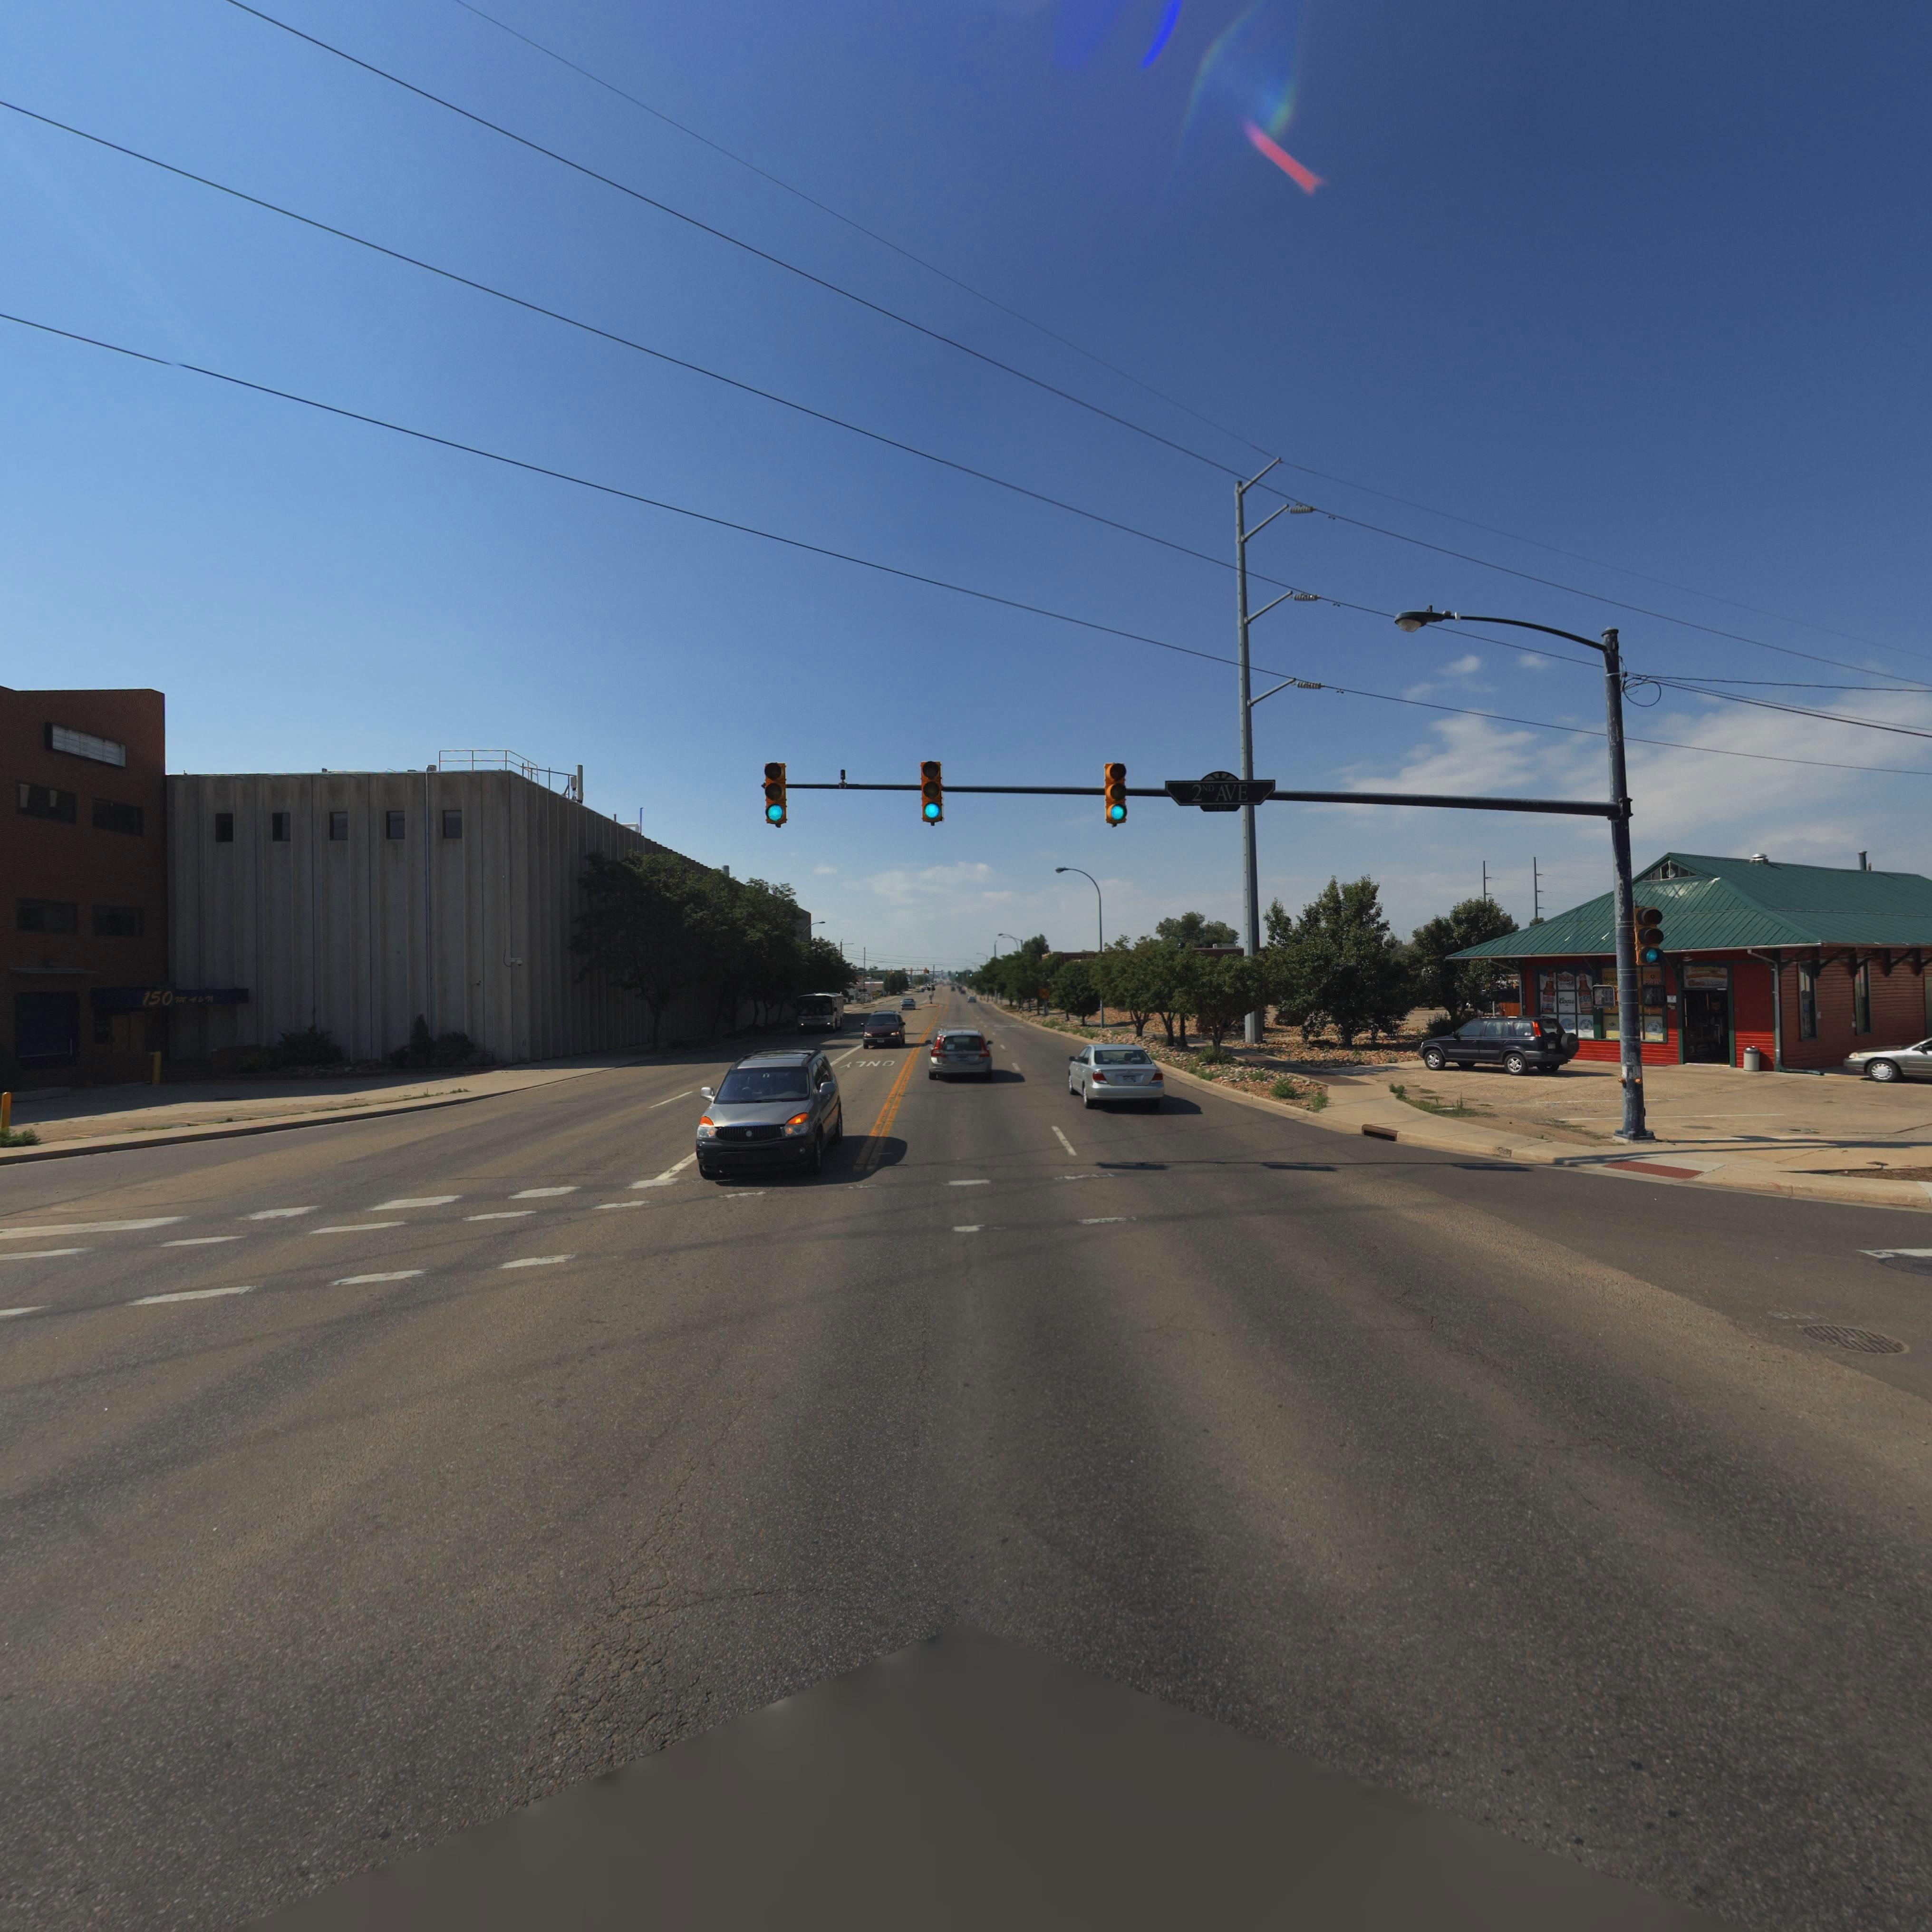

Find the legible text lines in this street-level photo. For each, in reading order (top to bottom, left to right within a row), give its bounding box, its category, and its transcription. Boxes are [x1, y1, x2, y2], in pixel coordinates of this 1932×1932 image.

[1191, 783, 1248, 802] StreetName: 2ND AVE
[1214, 805, 1227, 811] StreetNumberRange: *00
[141, 990, 173, 1006] StreetNumber: 150
[174, 995, 213, 1004] StreetName: MAIN